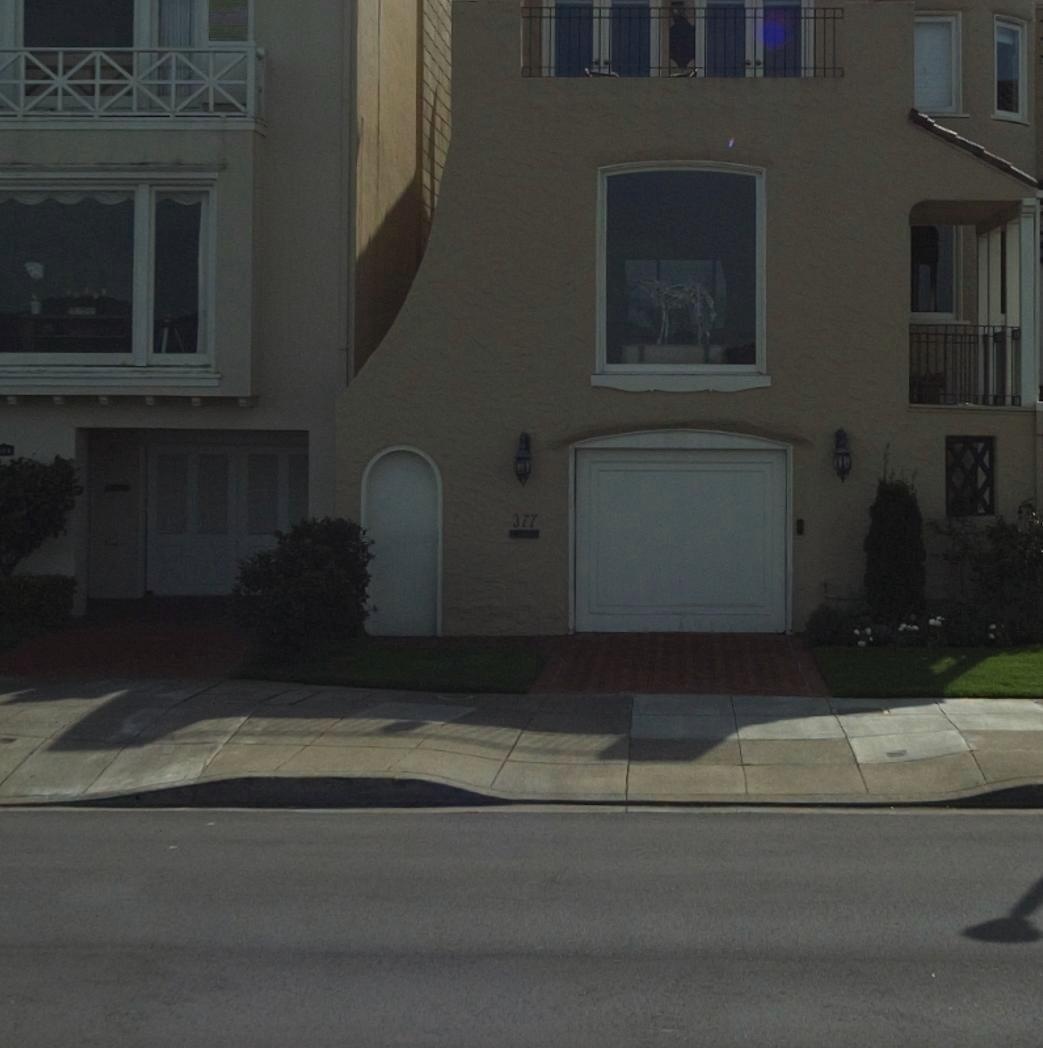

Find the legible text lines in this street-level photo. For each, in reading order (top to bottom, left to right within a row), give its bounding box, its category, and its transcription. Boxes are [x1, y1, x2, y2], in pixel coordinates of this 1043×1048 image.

[510, 512, 542, 530] StreetNumber: 377